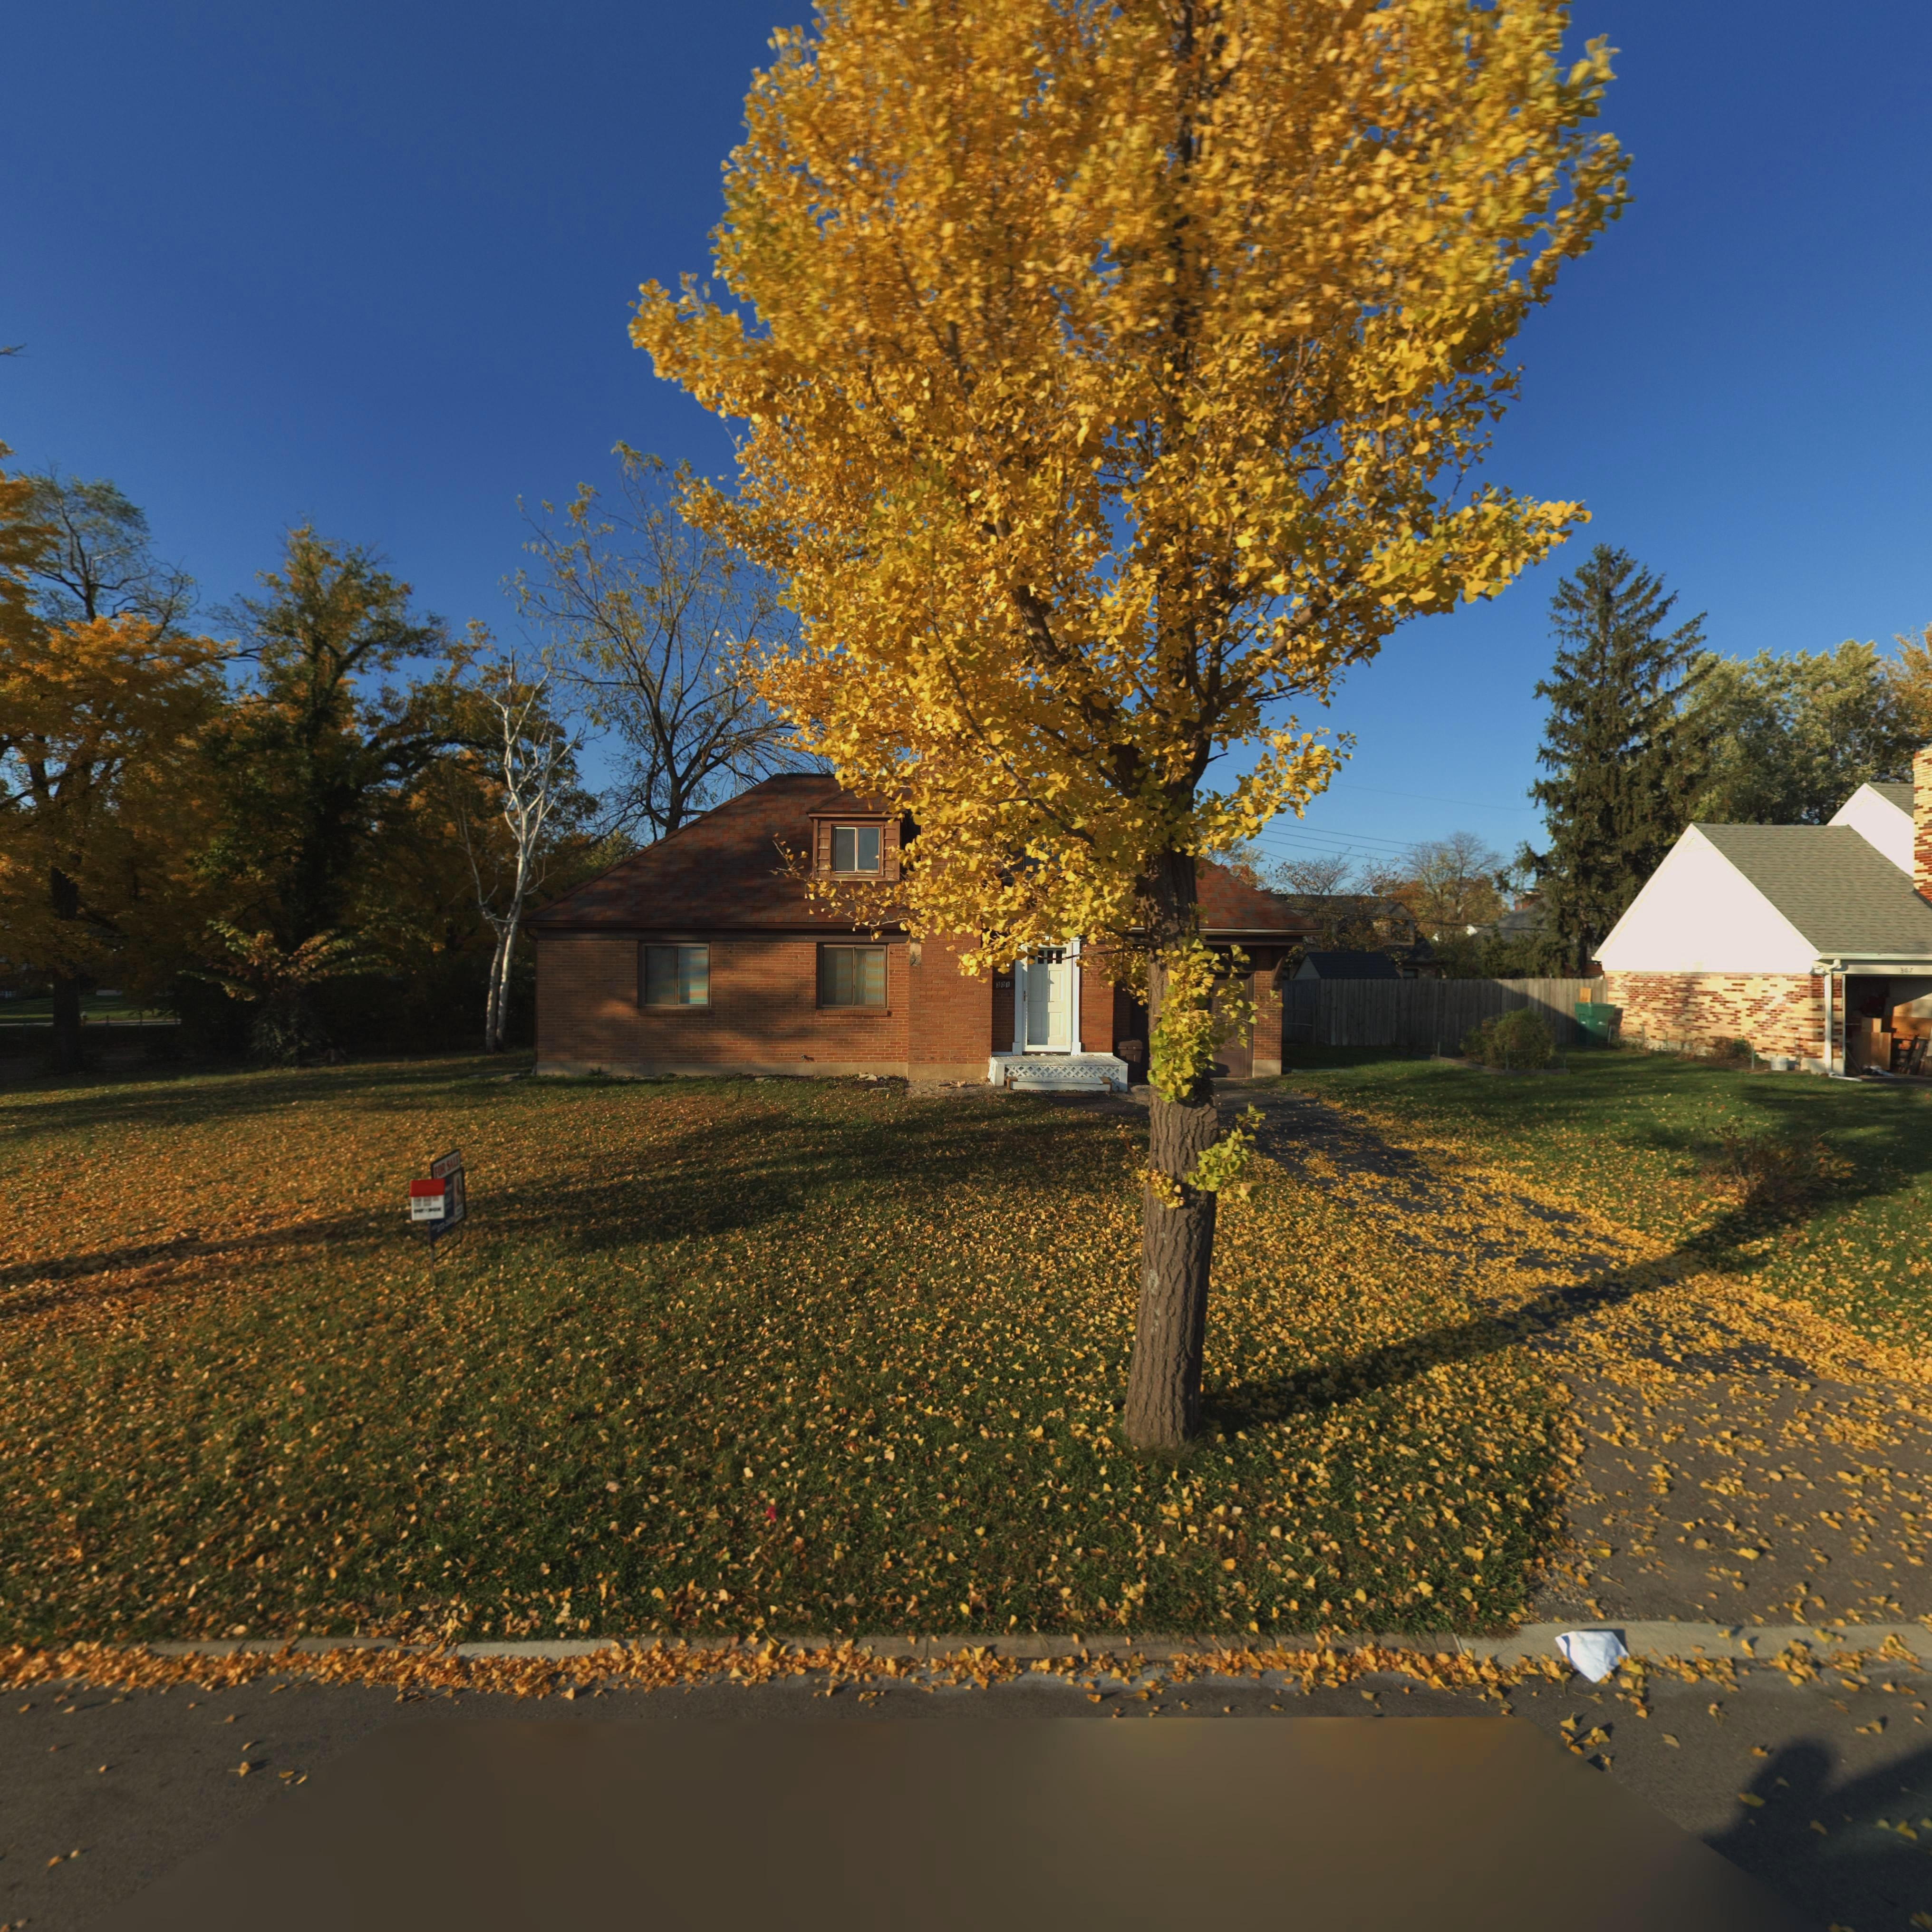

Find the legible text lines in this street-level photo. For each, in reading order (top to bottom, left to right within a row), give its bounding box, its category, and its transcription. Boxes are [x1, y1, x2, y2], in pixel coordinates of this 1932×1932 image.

[1899, 966, 1915, 975] StreetNumber: 307
[996, 981, 1010, 988] StreetNumber: 301